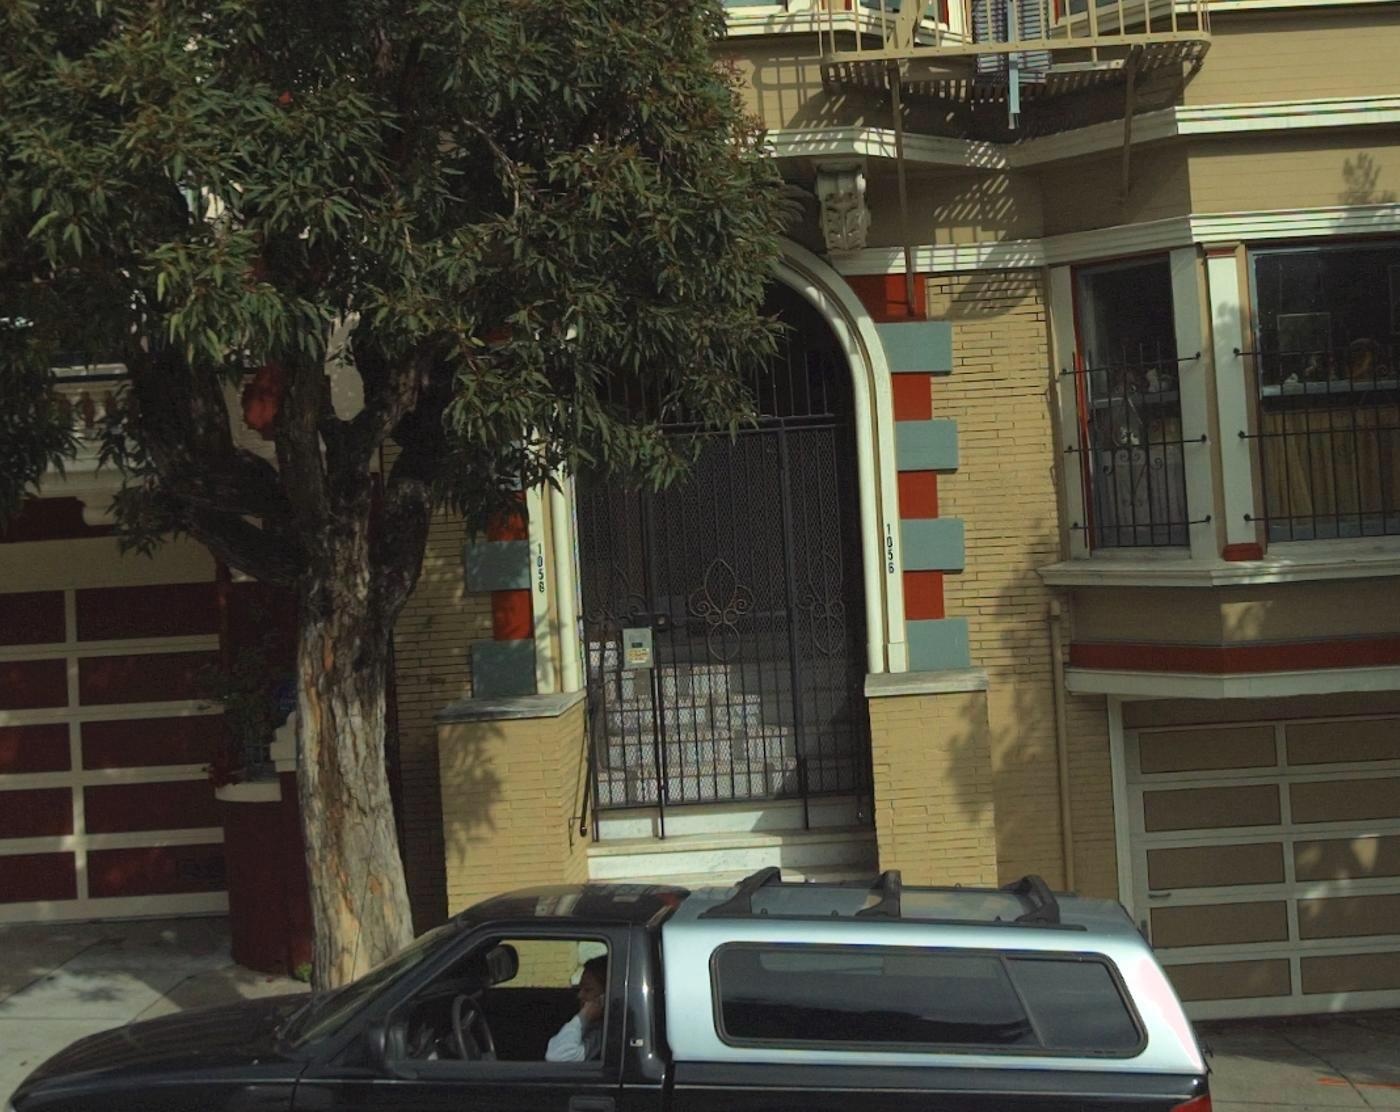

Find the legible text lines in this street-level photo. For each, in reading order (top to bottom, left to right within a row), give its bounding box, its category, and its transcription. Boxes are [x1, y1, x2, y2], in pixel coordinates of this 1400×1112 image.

[535, 540, 547, 595] StreetNumber: 1058
[883, 521, 898, 576] StreetNumber: 1056